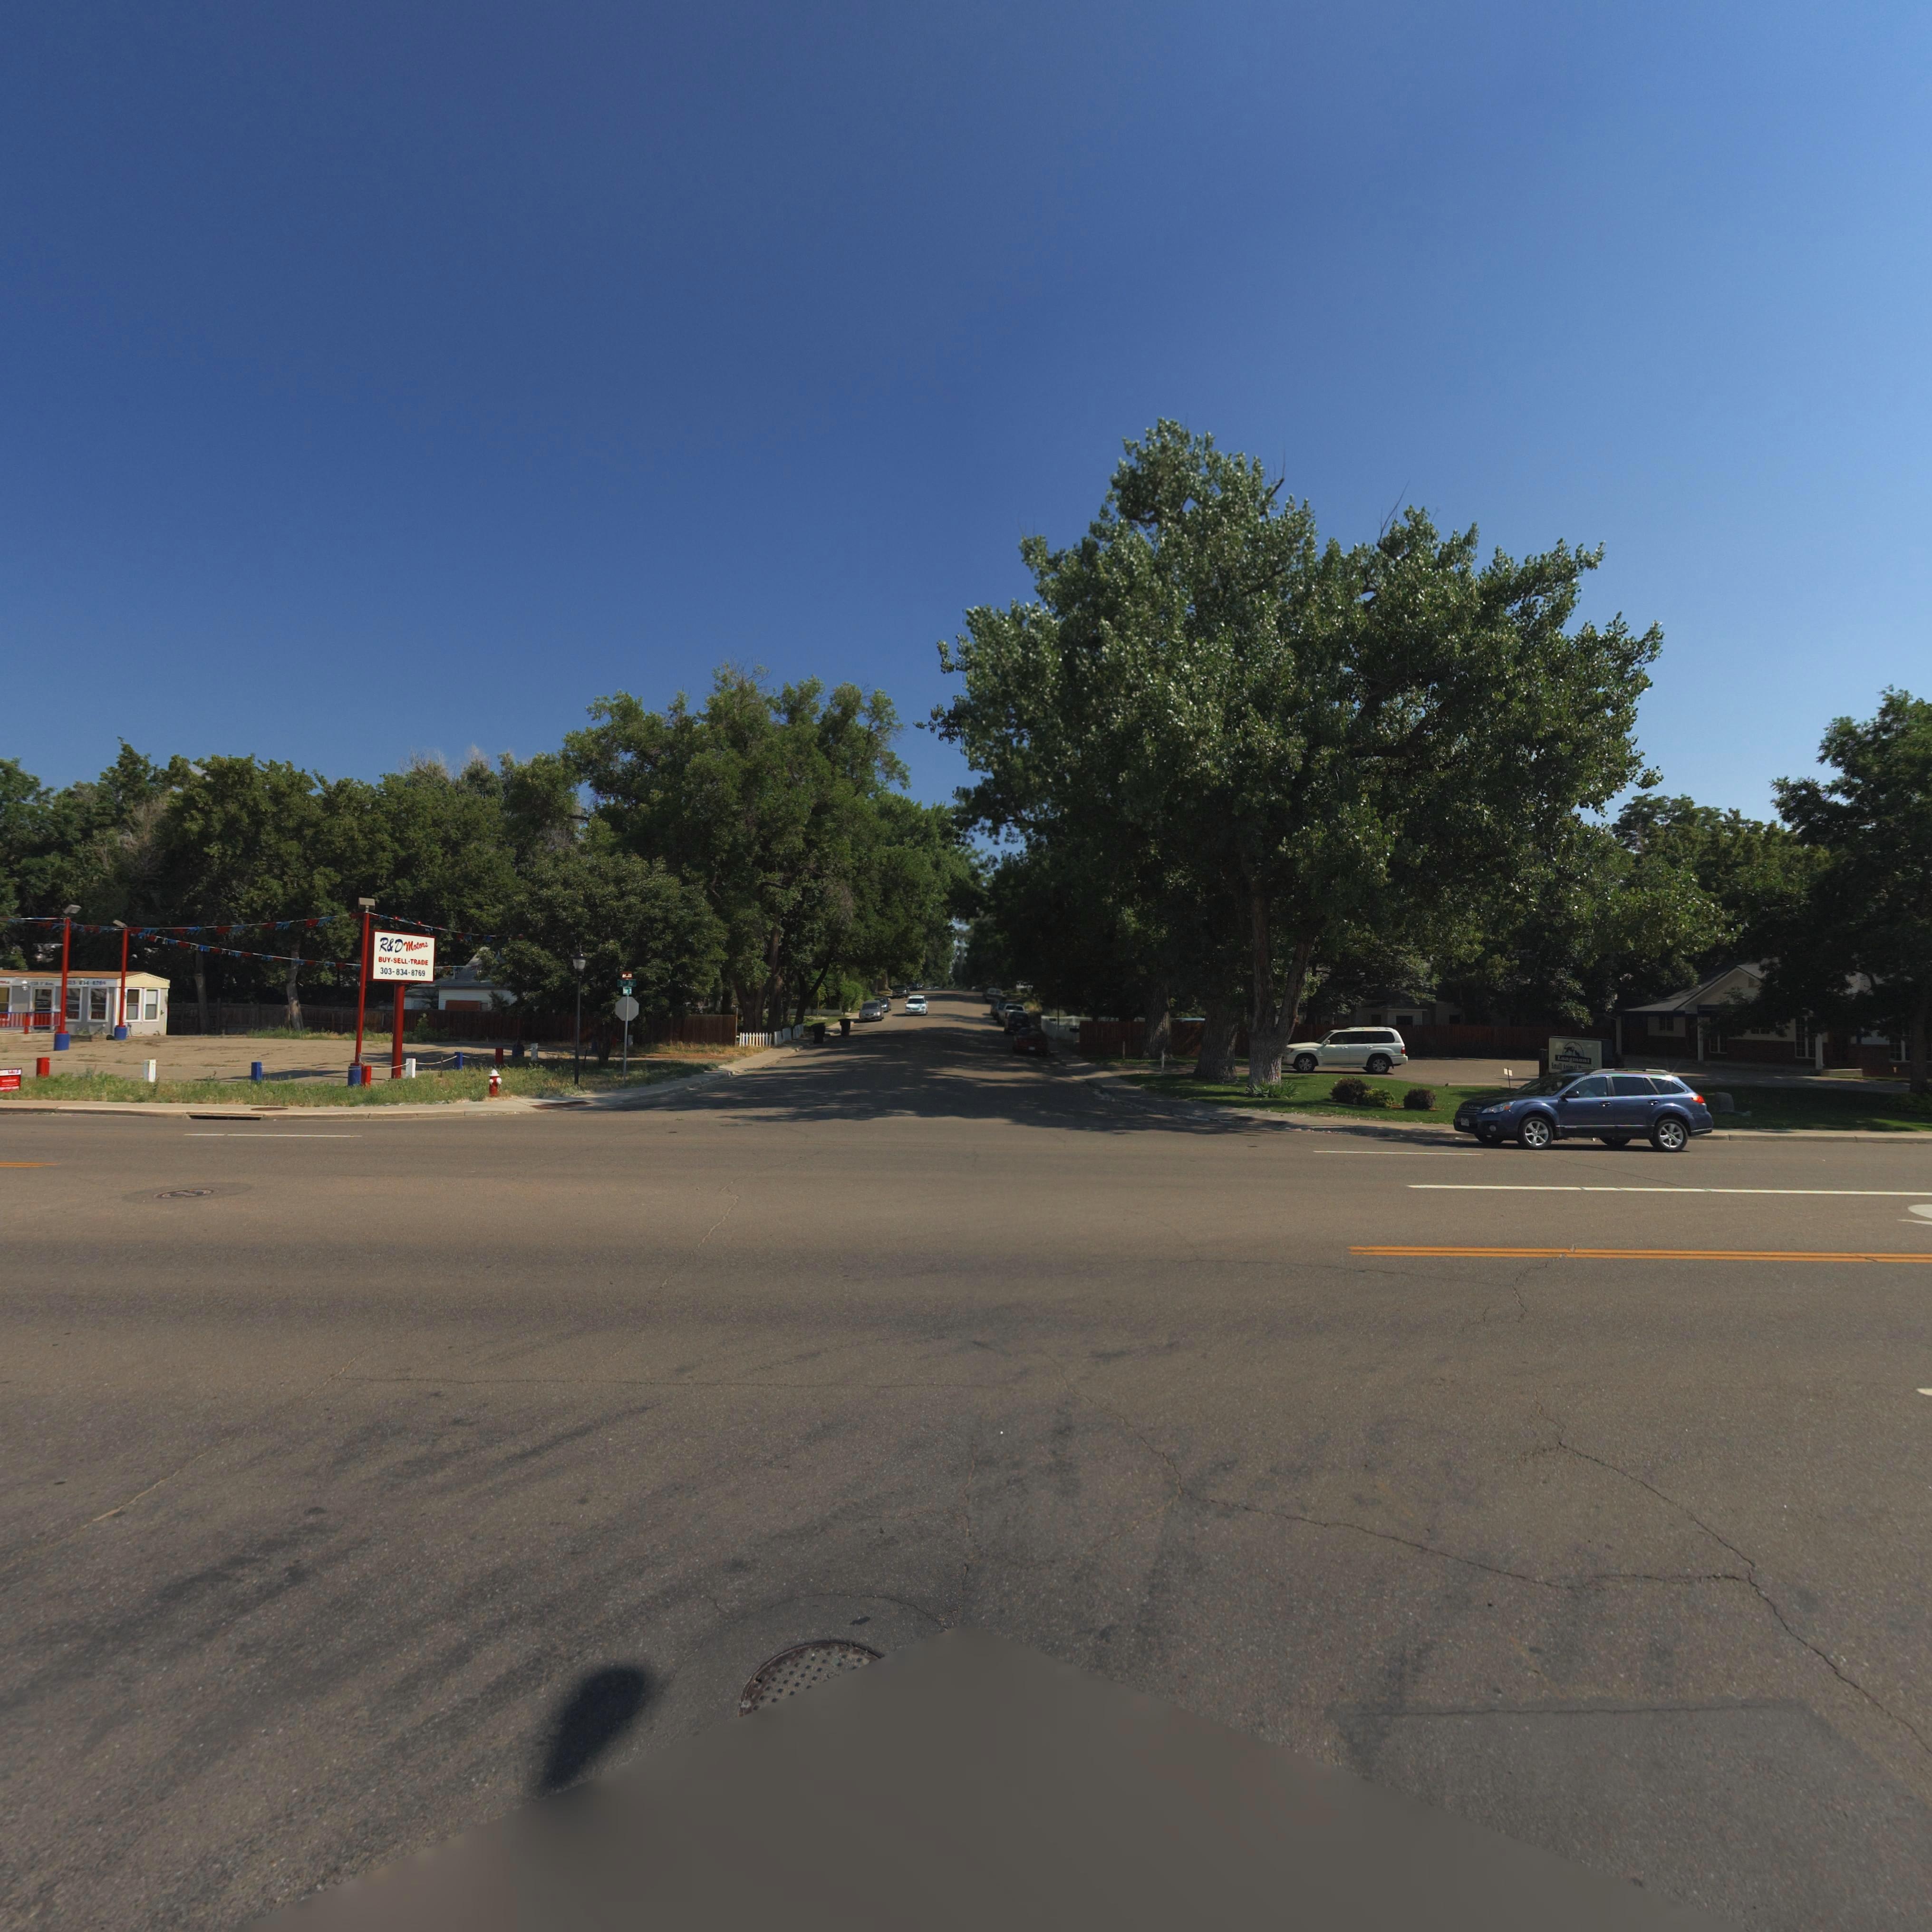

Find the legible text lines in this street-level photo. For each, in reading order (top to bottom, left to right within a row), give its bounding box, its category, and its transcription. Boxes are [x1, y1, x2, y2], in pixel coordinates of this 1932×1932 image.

[378, 936, 403, 953] BusinessName: R*D
[403, 940, 429, 952] BusinessName: Motors
[619, 980, 634, 986] StreetName: 3rd Av
[1557, 1055, 1590, 1063] BusinessName: Longmont
[1551, 1061, 1581, 1071] BusinessName: Small Ani**